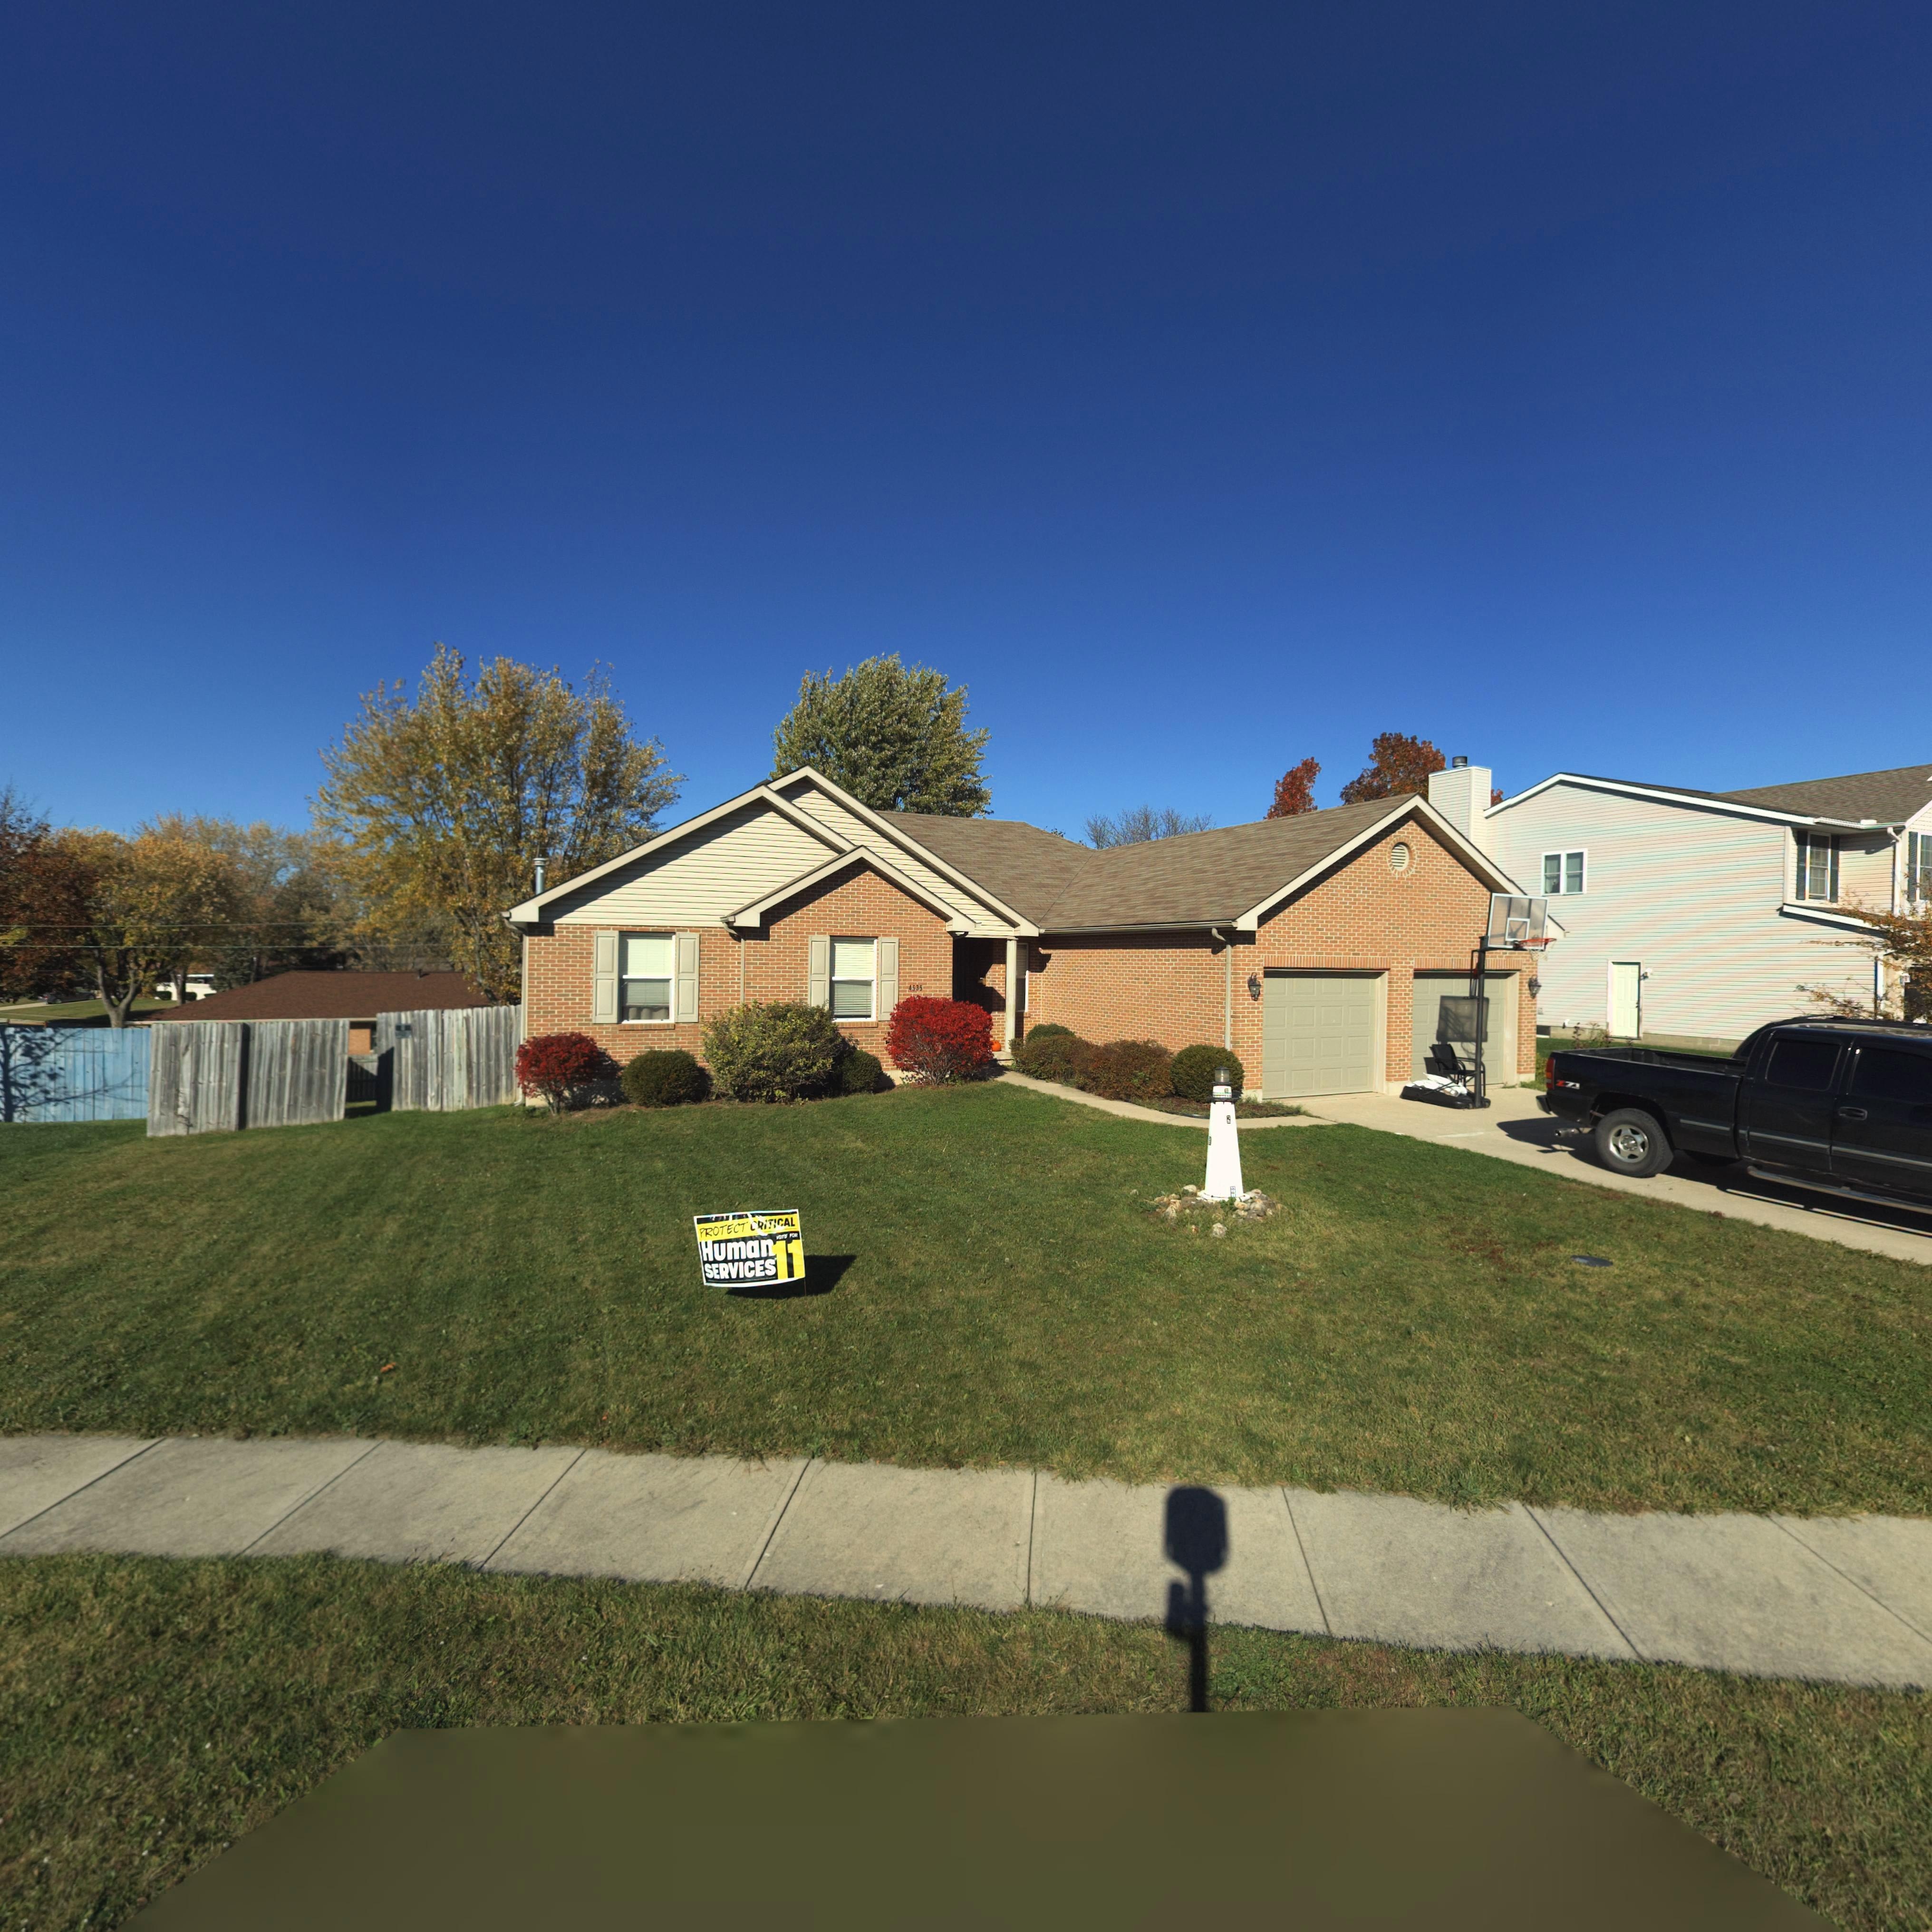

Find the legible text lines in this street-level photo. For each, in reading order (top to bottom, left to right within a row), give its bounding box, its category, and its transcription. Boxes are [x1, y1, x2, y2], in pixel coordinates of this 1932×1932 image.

[908, 984, 924, 992] StreetNumber: 4535
[1555, 1079, 1581, 1091] None: Z71
[698, 1216, 797, 1239] None: PROTECT CRITICAL
[700, 1237, 776, 1263] None: Human
[703, 1257, 777, 1281] None: SERVICES
[771, 1238, 806, 1281] None: 11